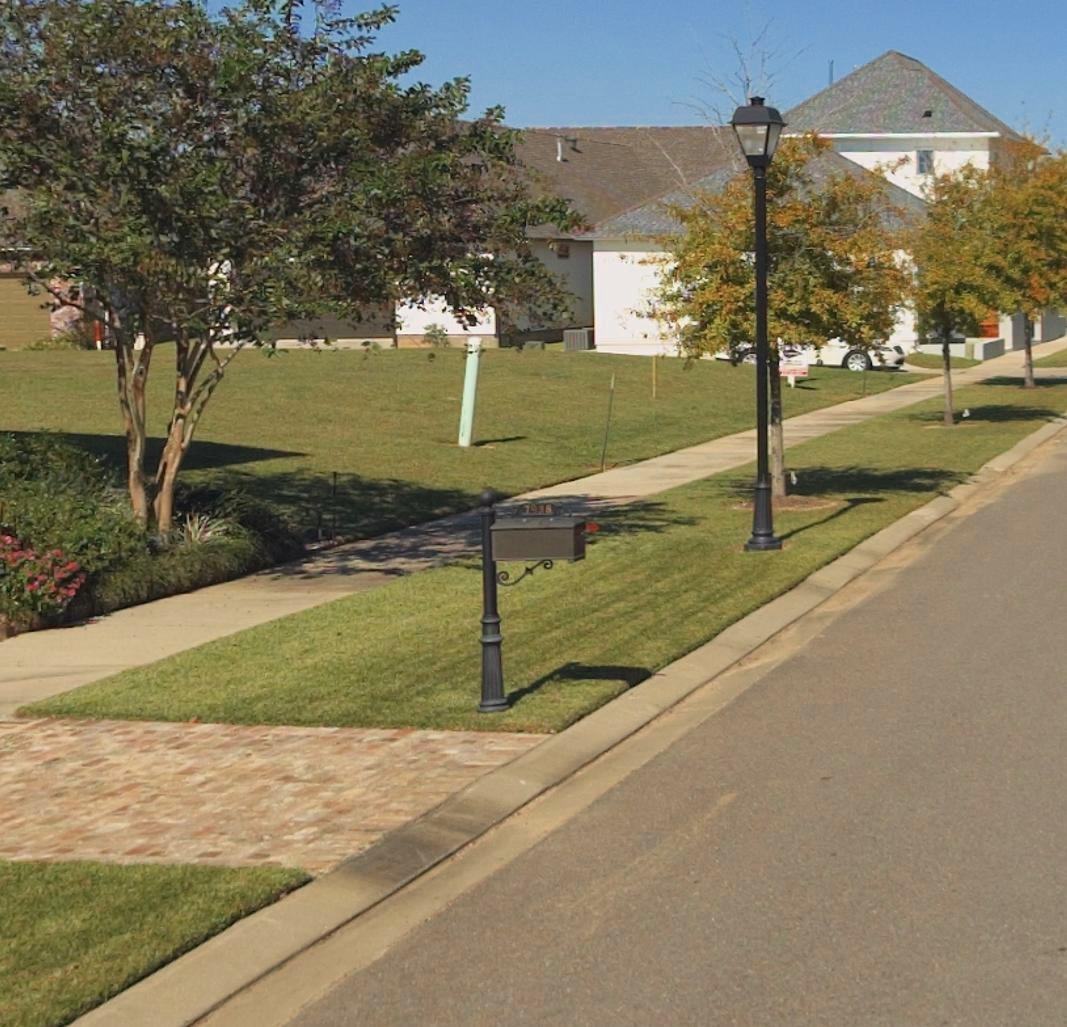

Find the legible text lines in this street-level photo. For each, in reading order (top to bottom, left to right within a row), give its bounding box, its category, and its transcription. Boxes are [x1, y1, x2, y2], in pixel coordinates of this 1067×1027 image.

[523, 504, 553, 514] StreetNumber: 7938